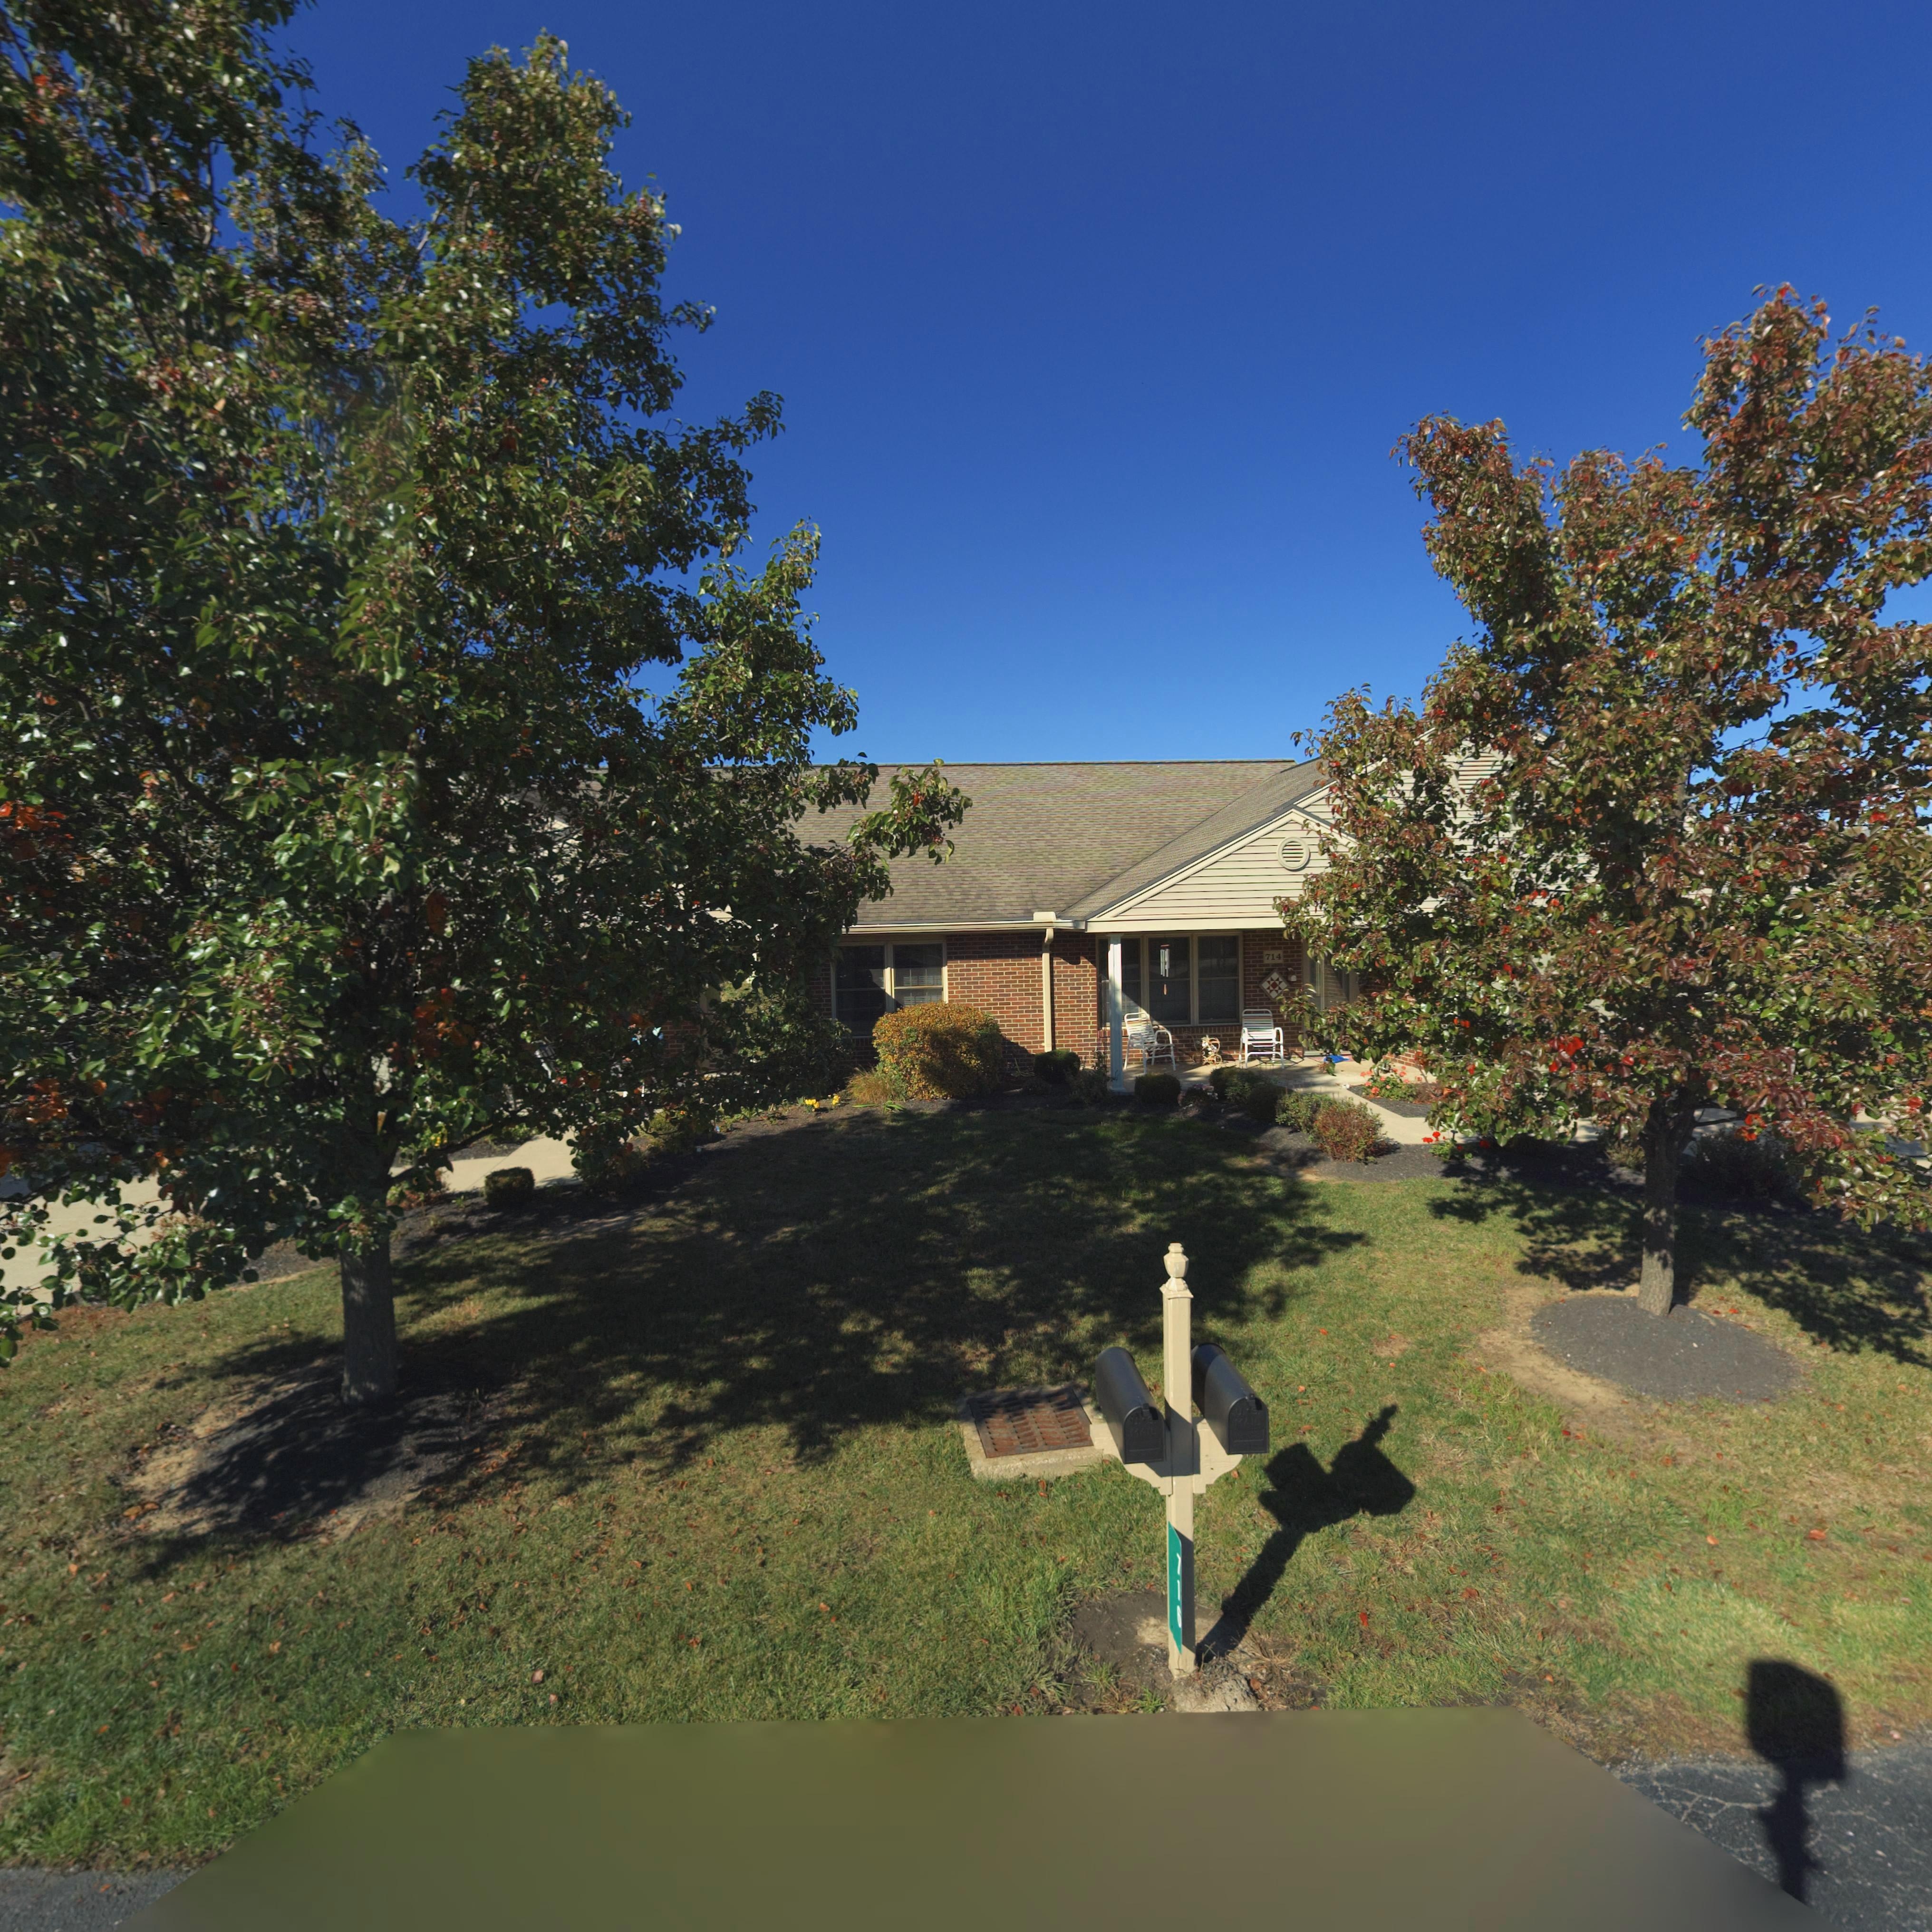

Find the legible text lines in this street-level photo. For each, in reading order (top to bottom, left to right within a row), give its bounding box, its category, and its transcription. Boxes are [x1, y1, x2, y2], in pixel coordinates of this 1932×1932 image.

[1265, 953, 1281, 960] StreetNumber: 714
[1176, 1550, 1182, 1630] StreetNumber: 716